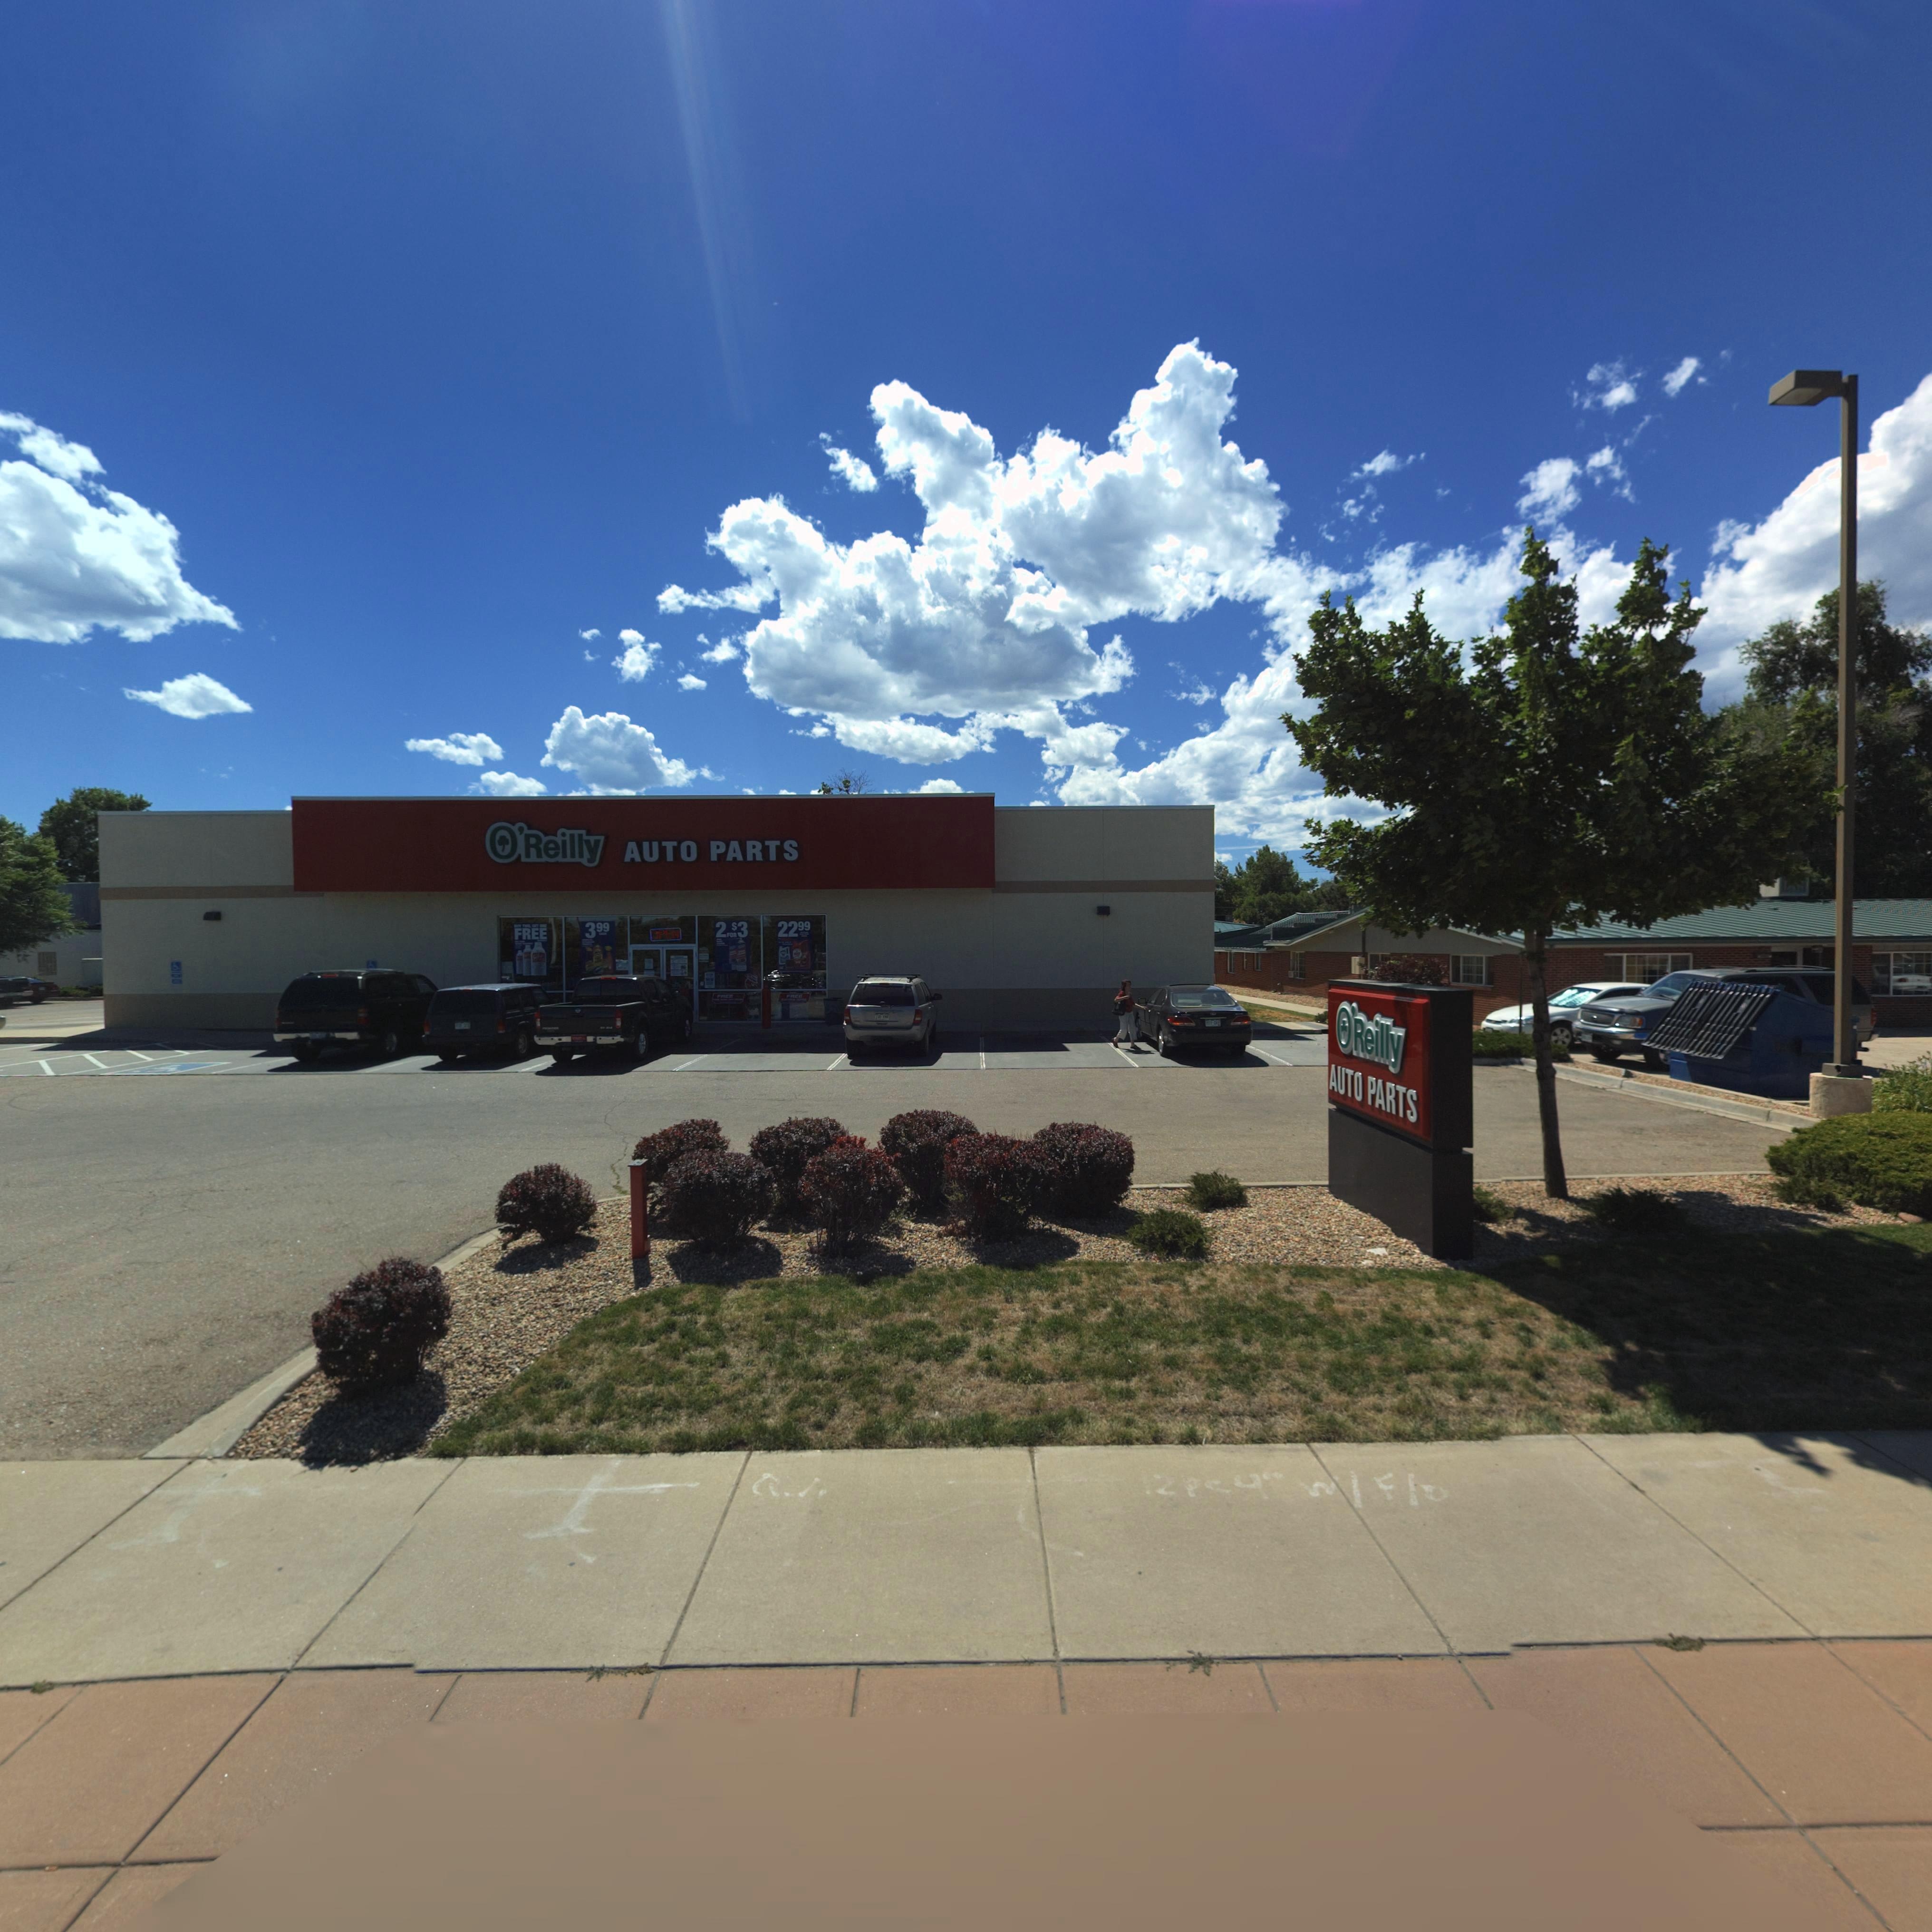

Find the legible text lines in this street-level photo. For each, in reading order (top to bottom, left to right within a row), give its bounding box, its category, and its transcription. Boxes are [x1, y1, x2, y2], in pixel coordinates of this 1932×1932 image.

[488, 824, 601, 864] BusinessName: O'Reilly
[623, 840, 797, 861] BusinessName: AUTO PARTS
[1335, 1004, 1402, 1070] BusinessName: O'Reilly
[1329, 1063, 1416, 1123] BusinessName: AUTO PARTS